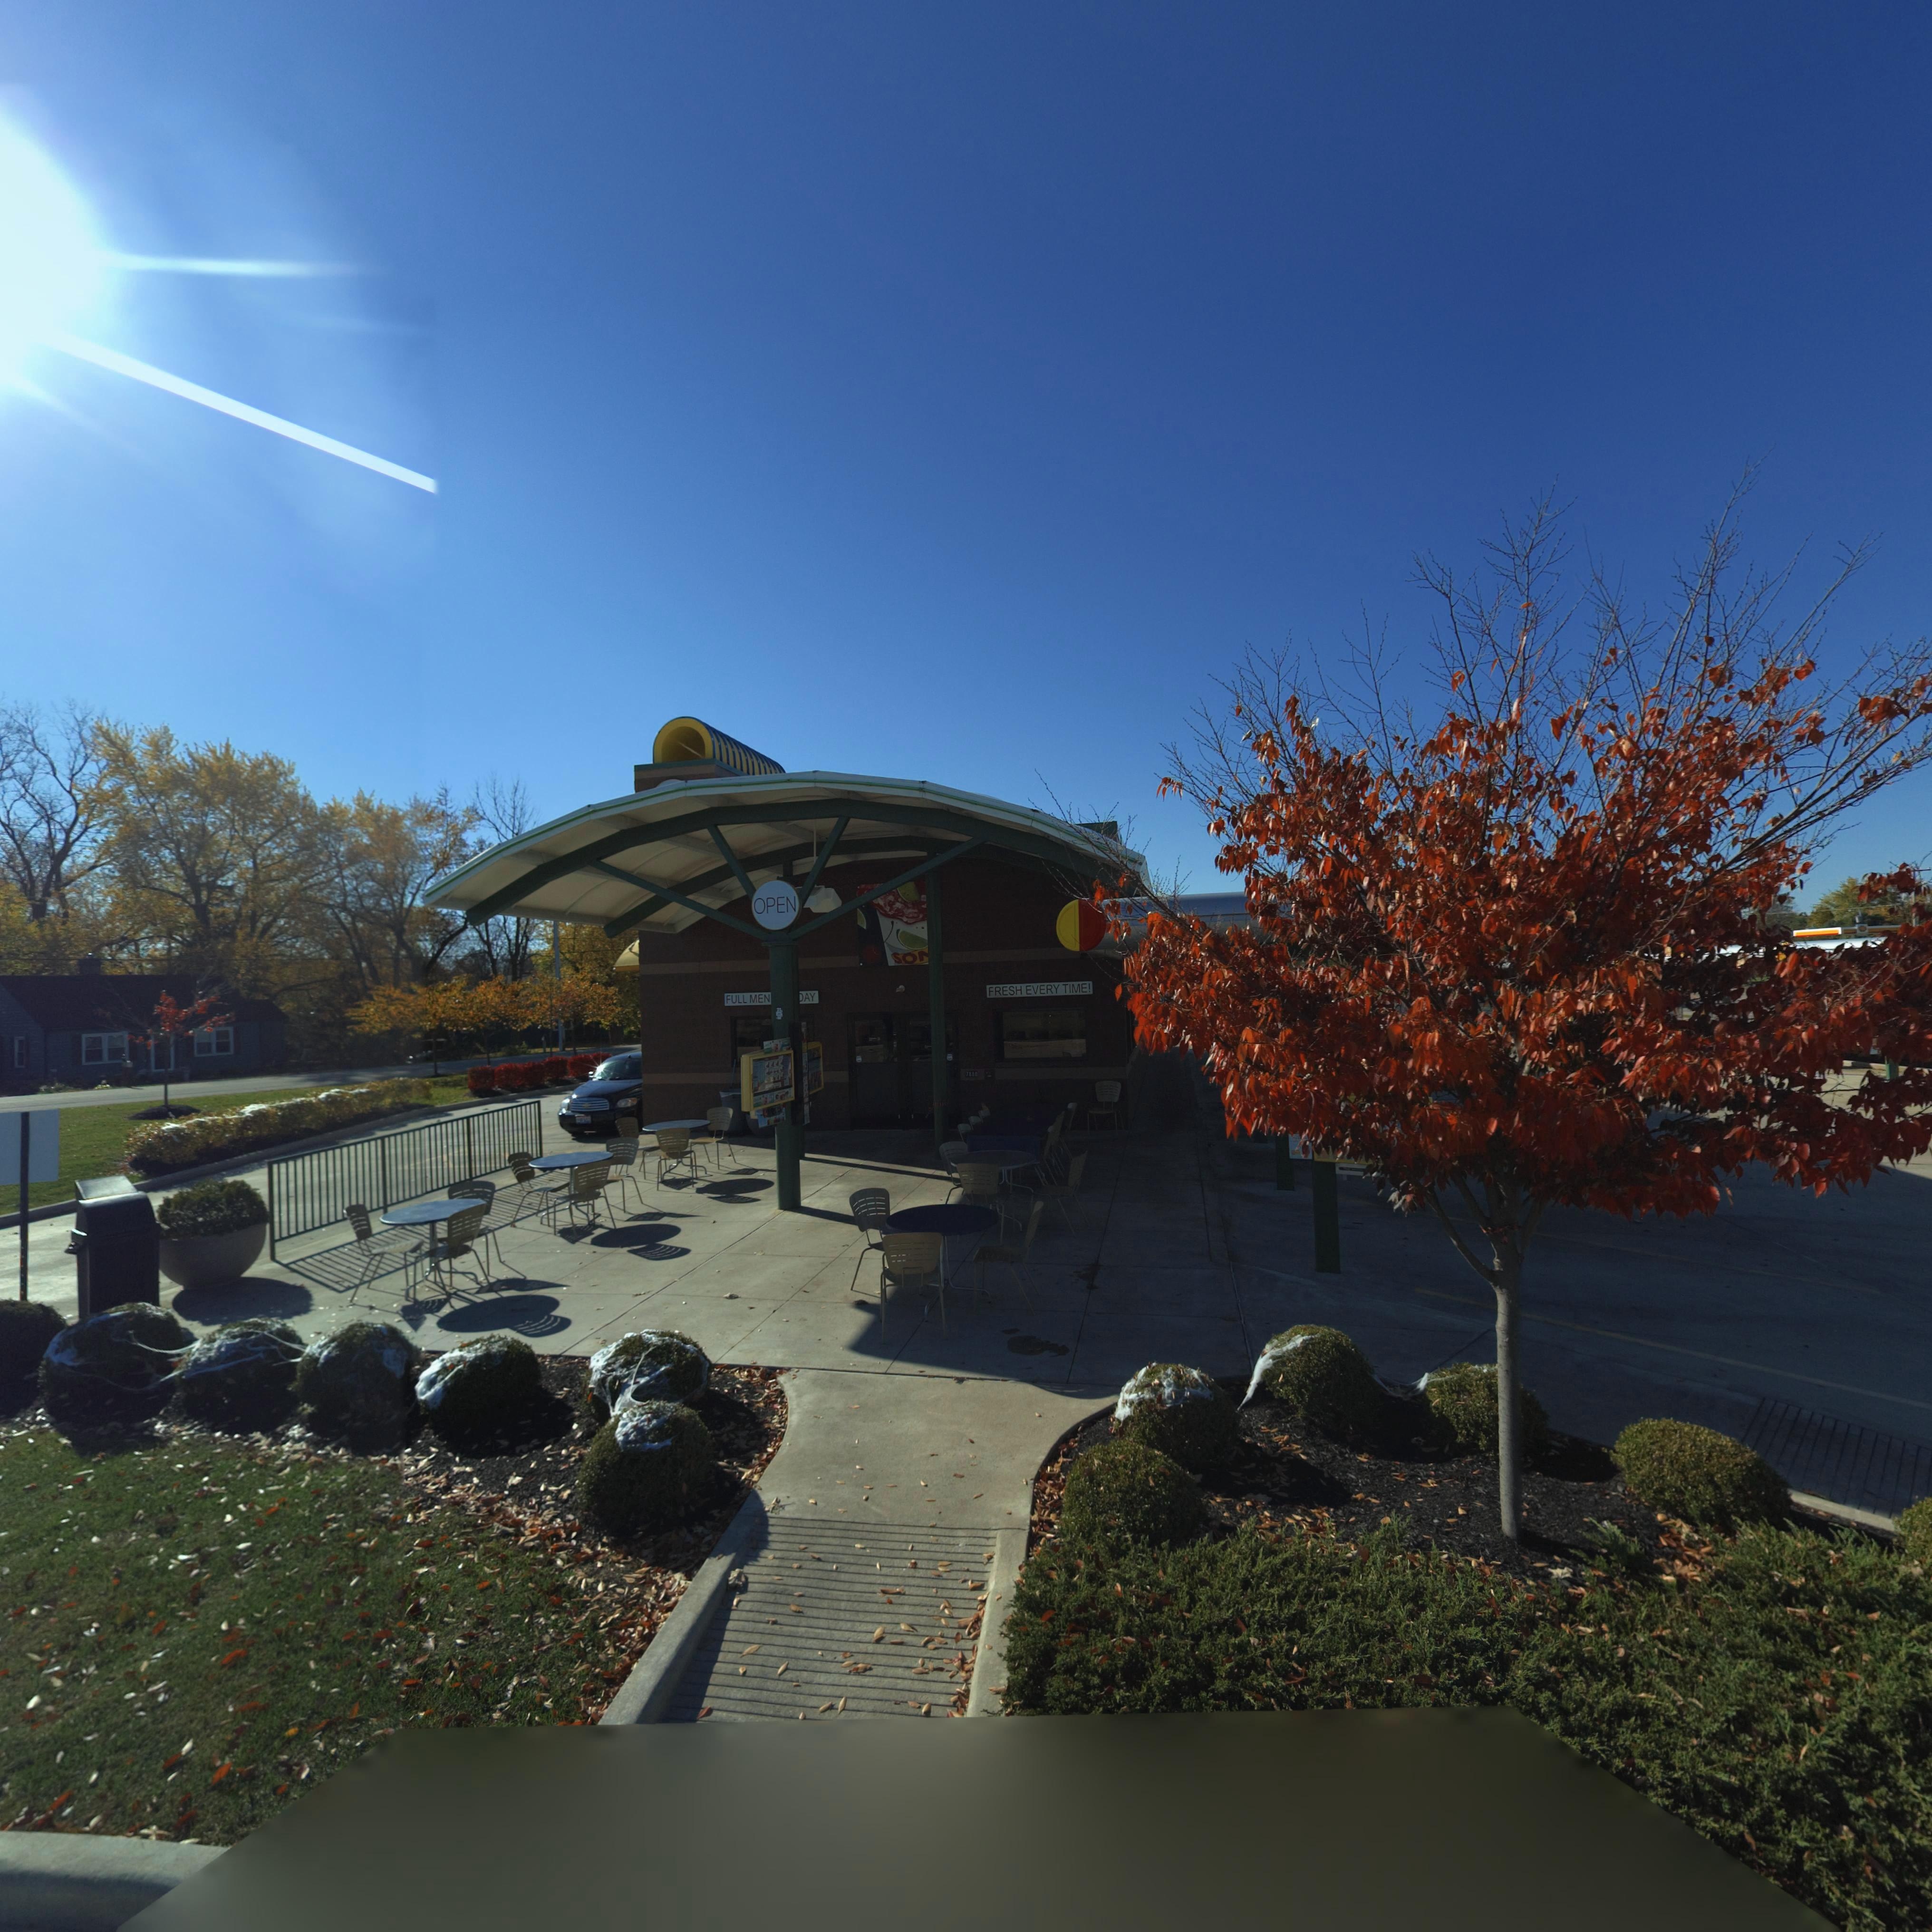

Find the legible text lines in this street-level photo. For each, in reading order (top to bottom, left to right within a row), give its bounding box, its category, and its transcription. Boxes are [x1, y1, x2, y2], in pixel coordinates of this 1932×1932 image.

[965, 1071, 978, 1077] StreetNumber: 7880